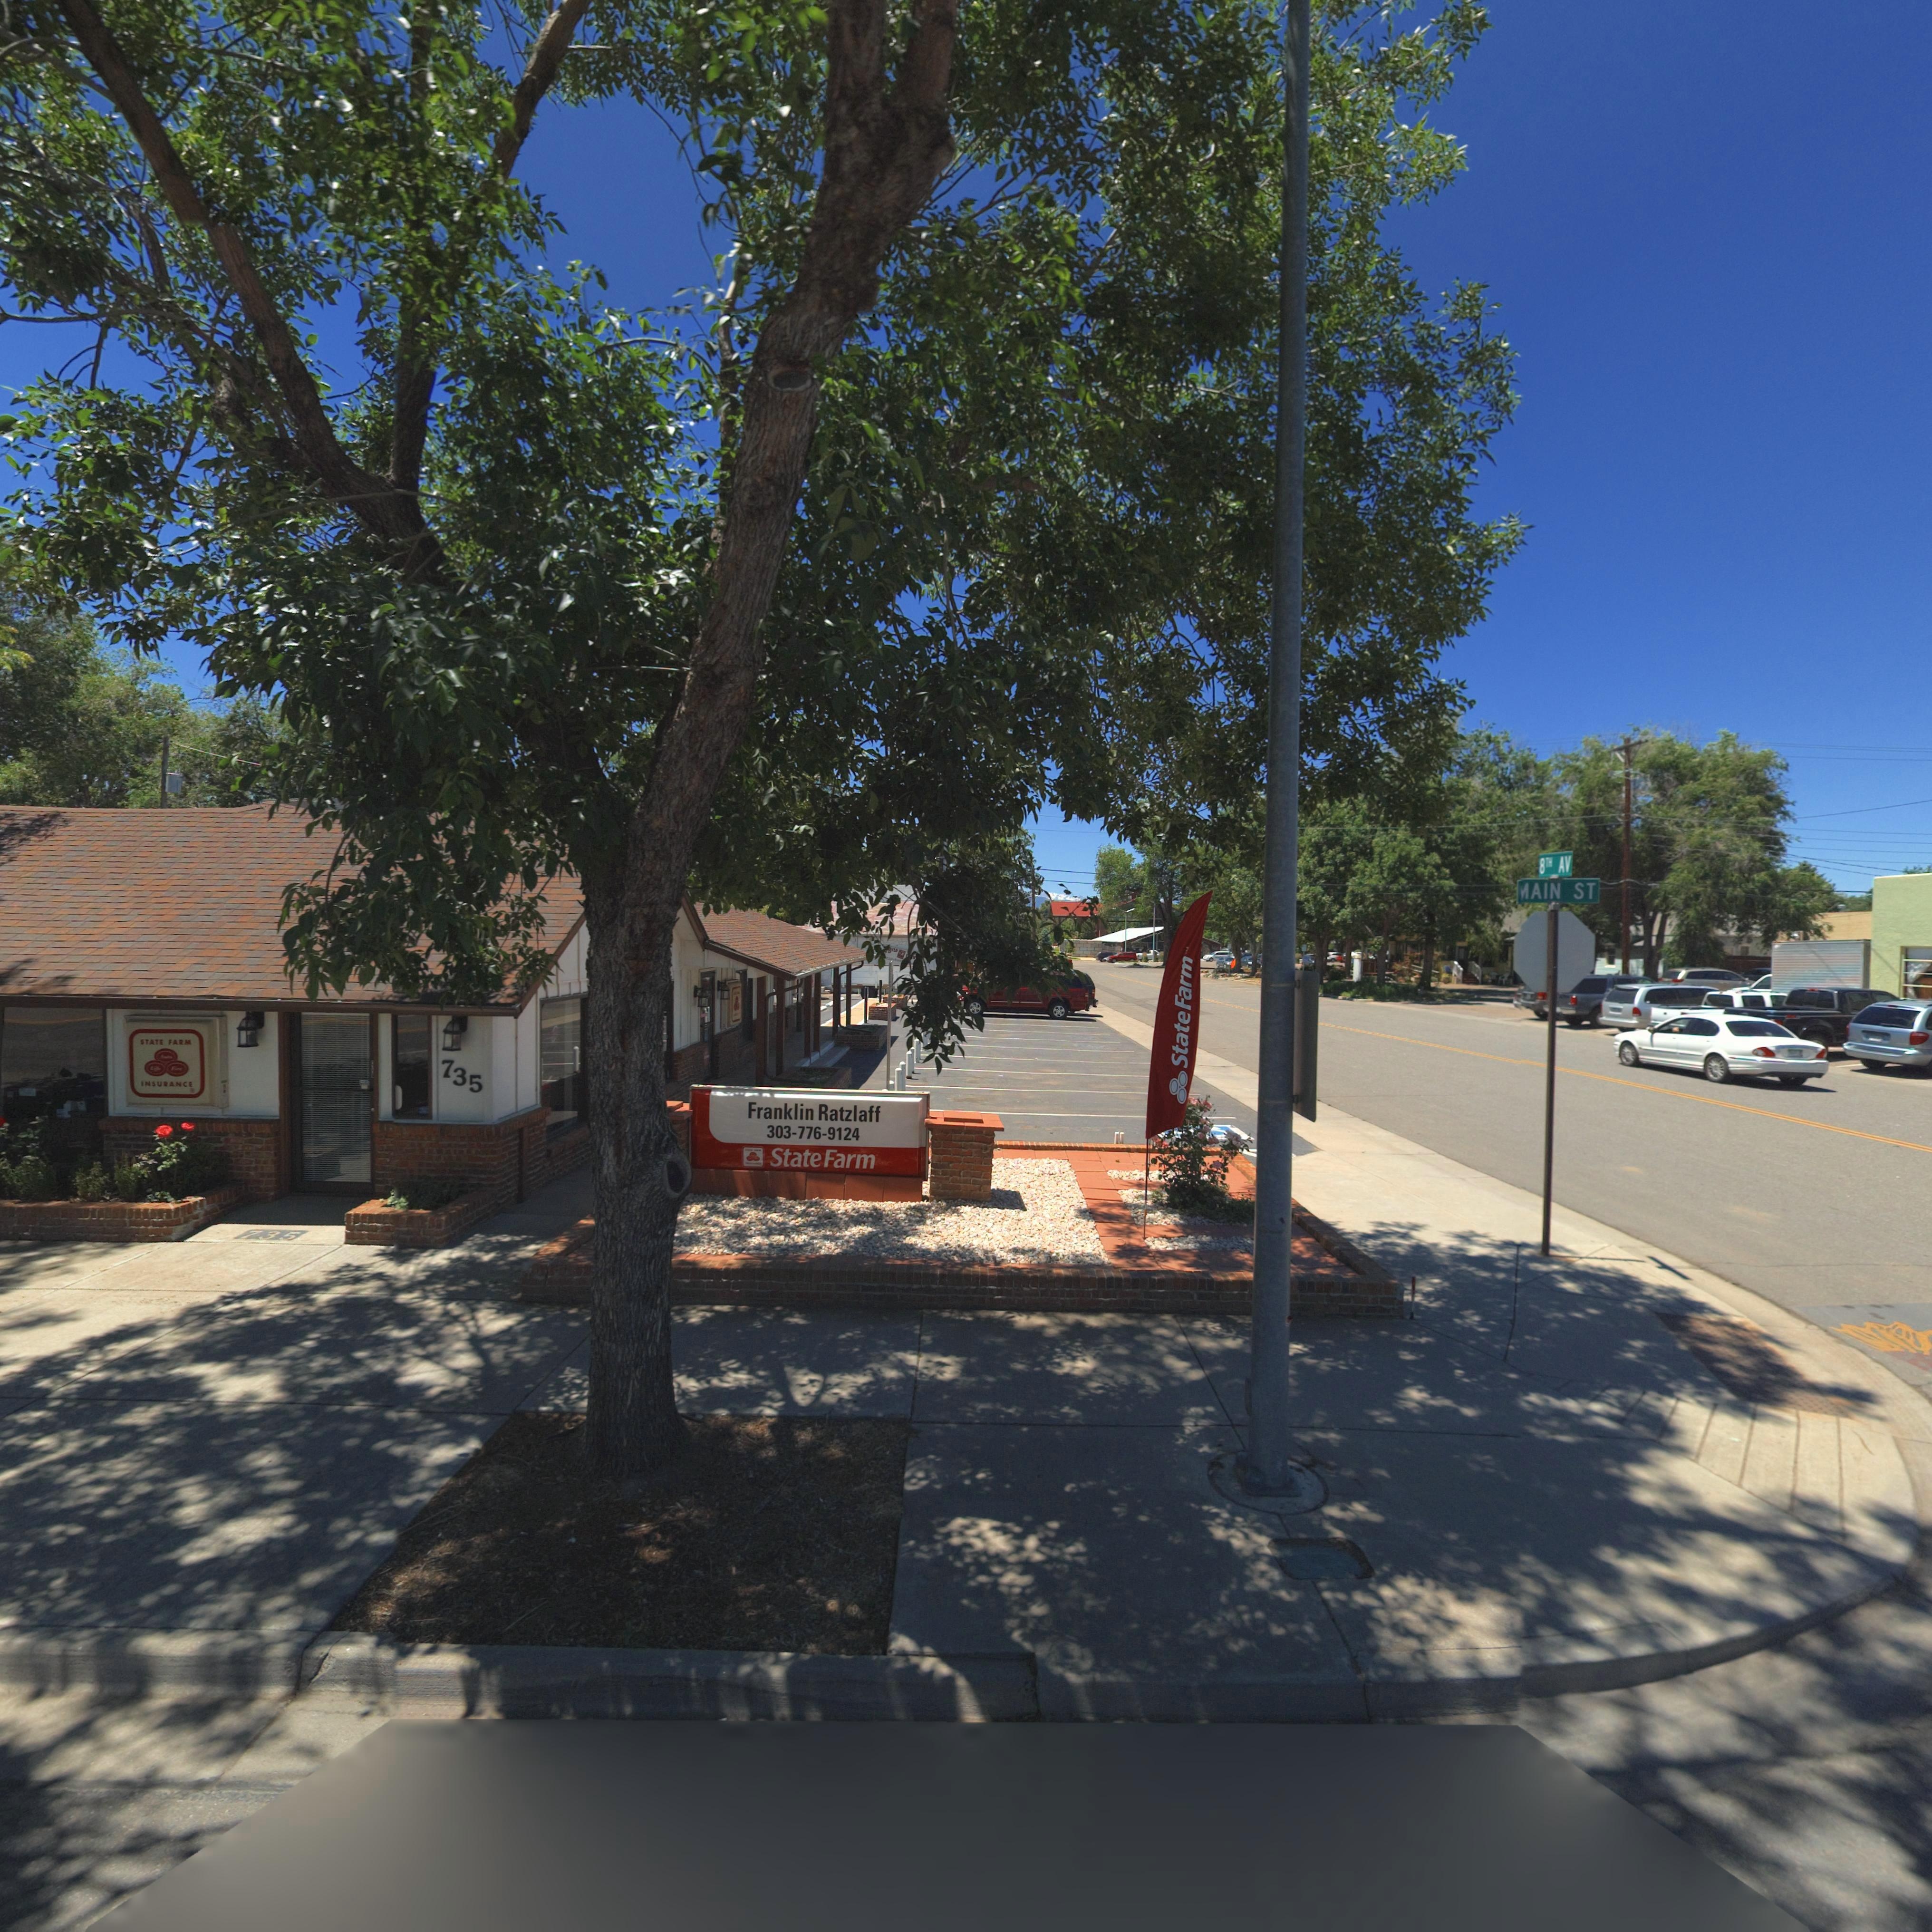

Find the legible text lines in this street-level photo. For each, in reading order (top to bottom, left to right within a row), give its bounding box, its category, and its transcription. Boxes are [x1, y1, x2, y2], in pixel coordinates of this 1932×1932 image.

[1538, 855, 1571, 874] StreetName: 8TH AV
[1520, 882, 1596, 900] StreetName: *AIN ST
[1170, 955, 1193, 1069] BusinessName: State Farm
[140, 1039, 192, 1045] BusinessName: STATE FARM
[441, 1059, 483, 1093] StreetNumber: 735
[770, 1147, 876, 1169] BusinessName: State Farm
[241, 1230, 300, 1240] StreetNumber: 735